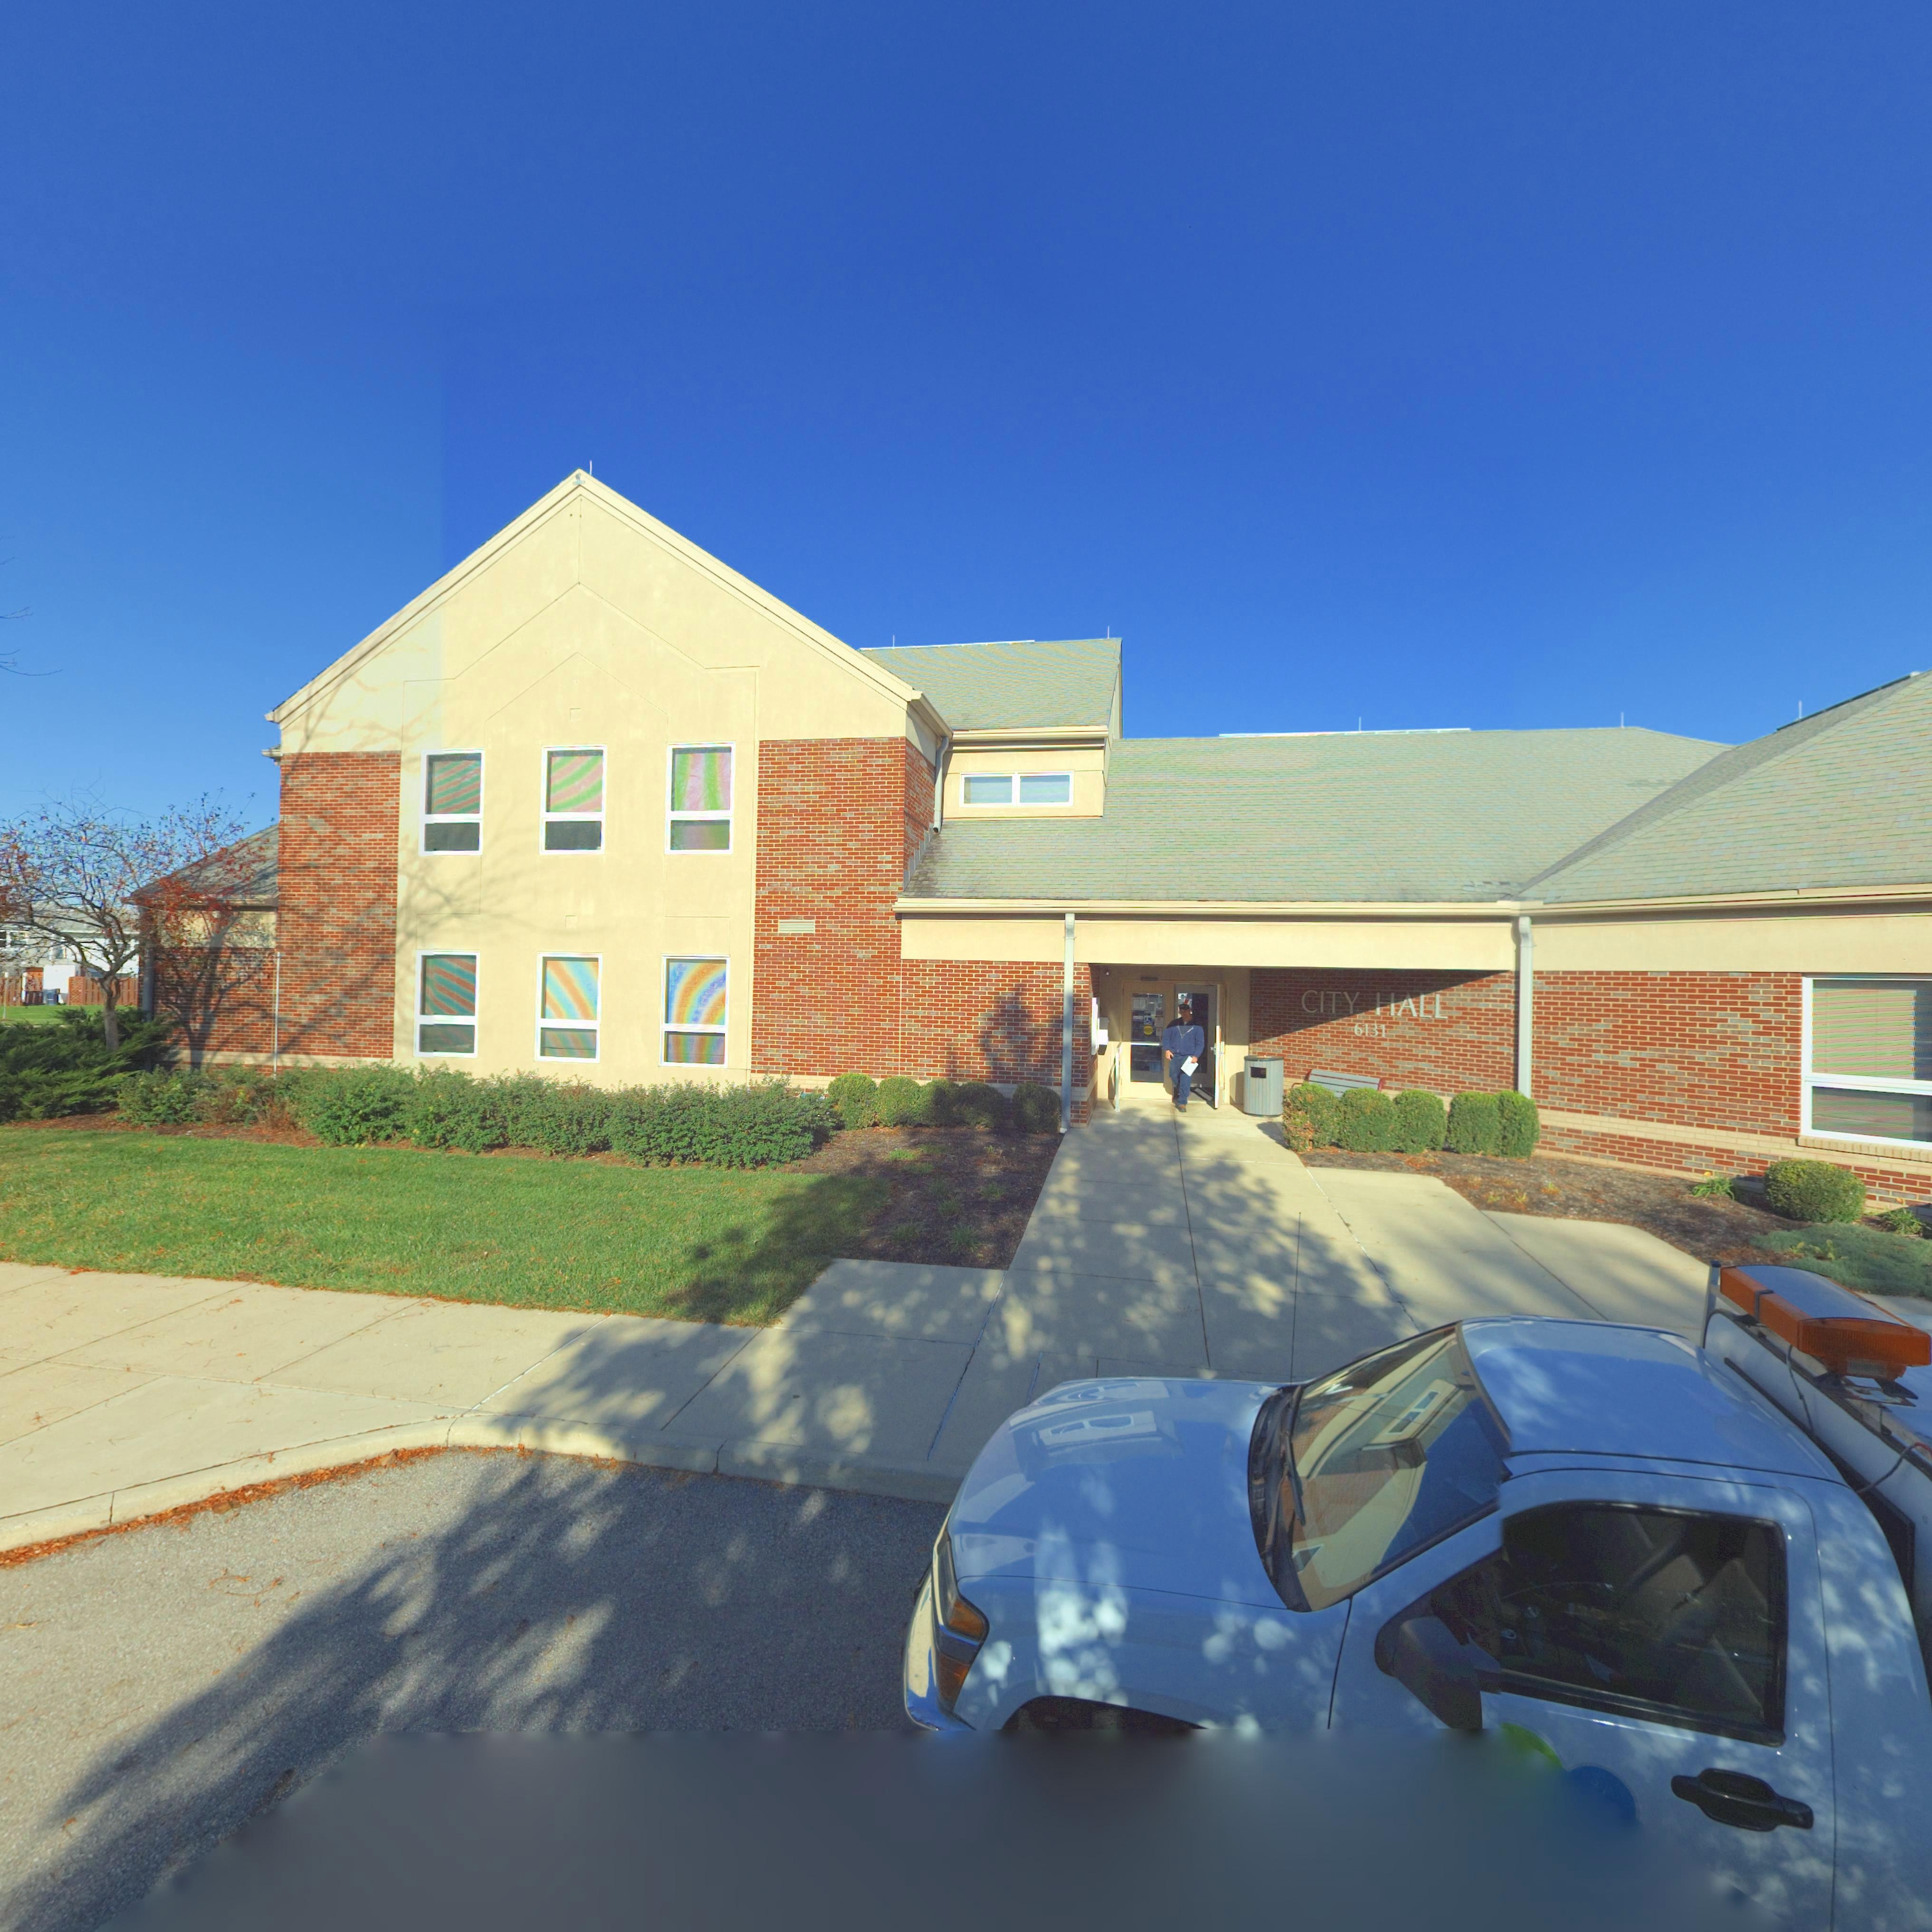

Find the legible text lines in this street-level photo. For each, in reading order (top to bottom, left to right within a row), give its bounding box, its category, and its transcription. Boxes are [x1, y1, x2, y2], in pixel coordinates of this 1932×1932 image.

[1353, 1022, 1386, 1038] StreetNumber: 6131